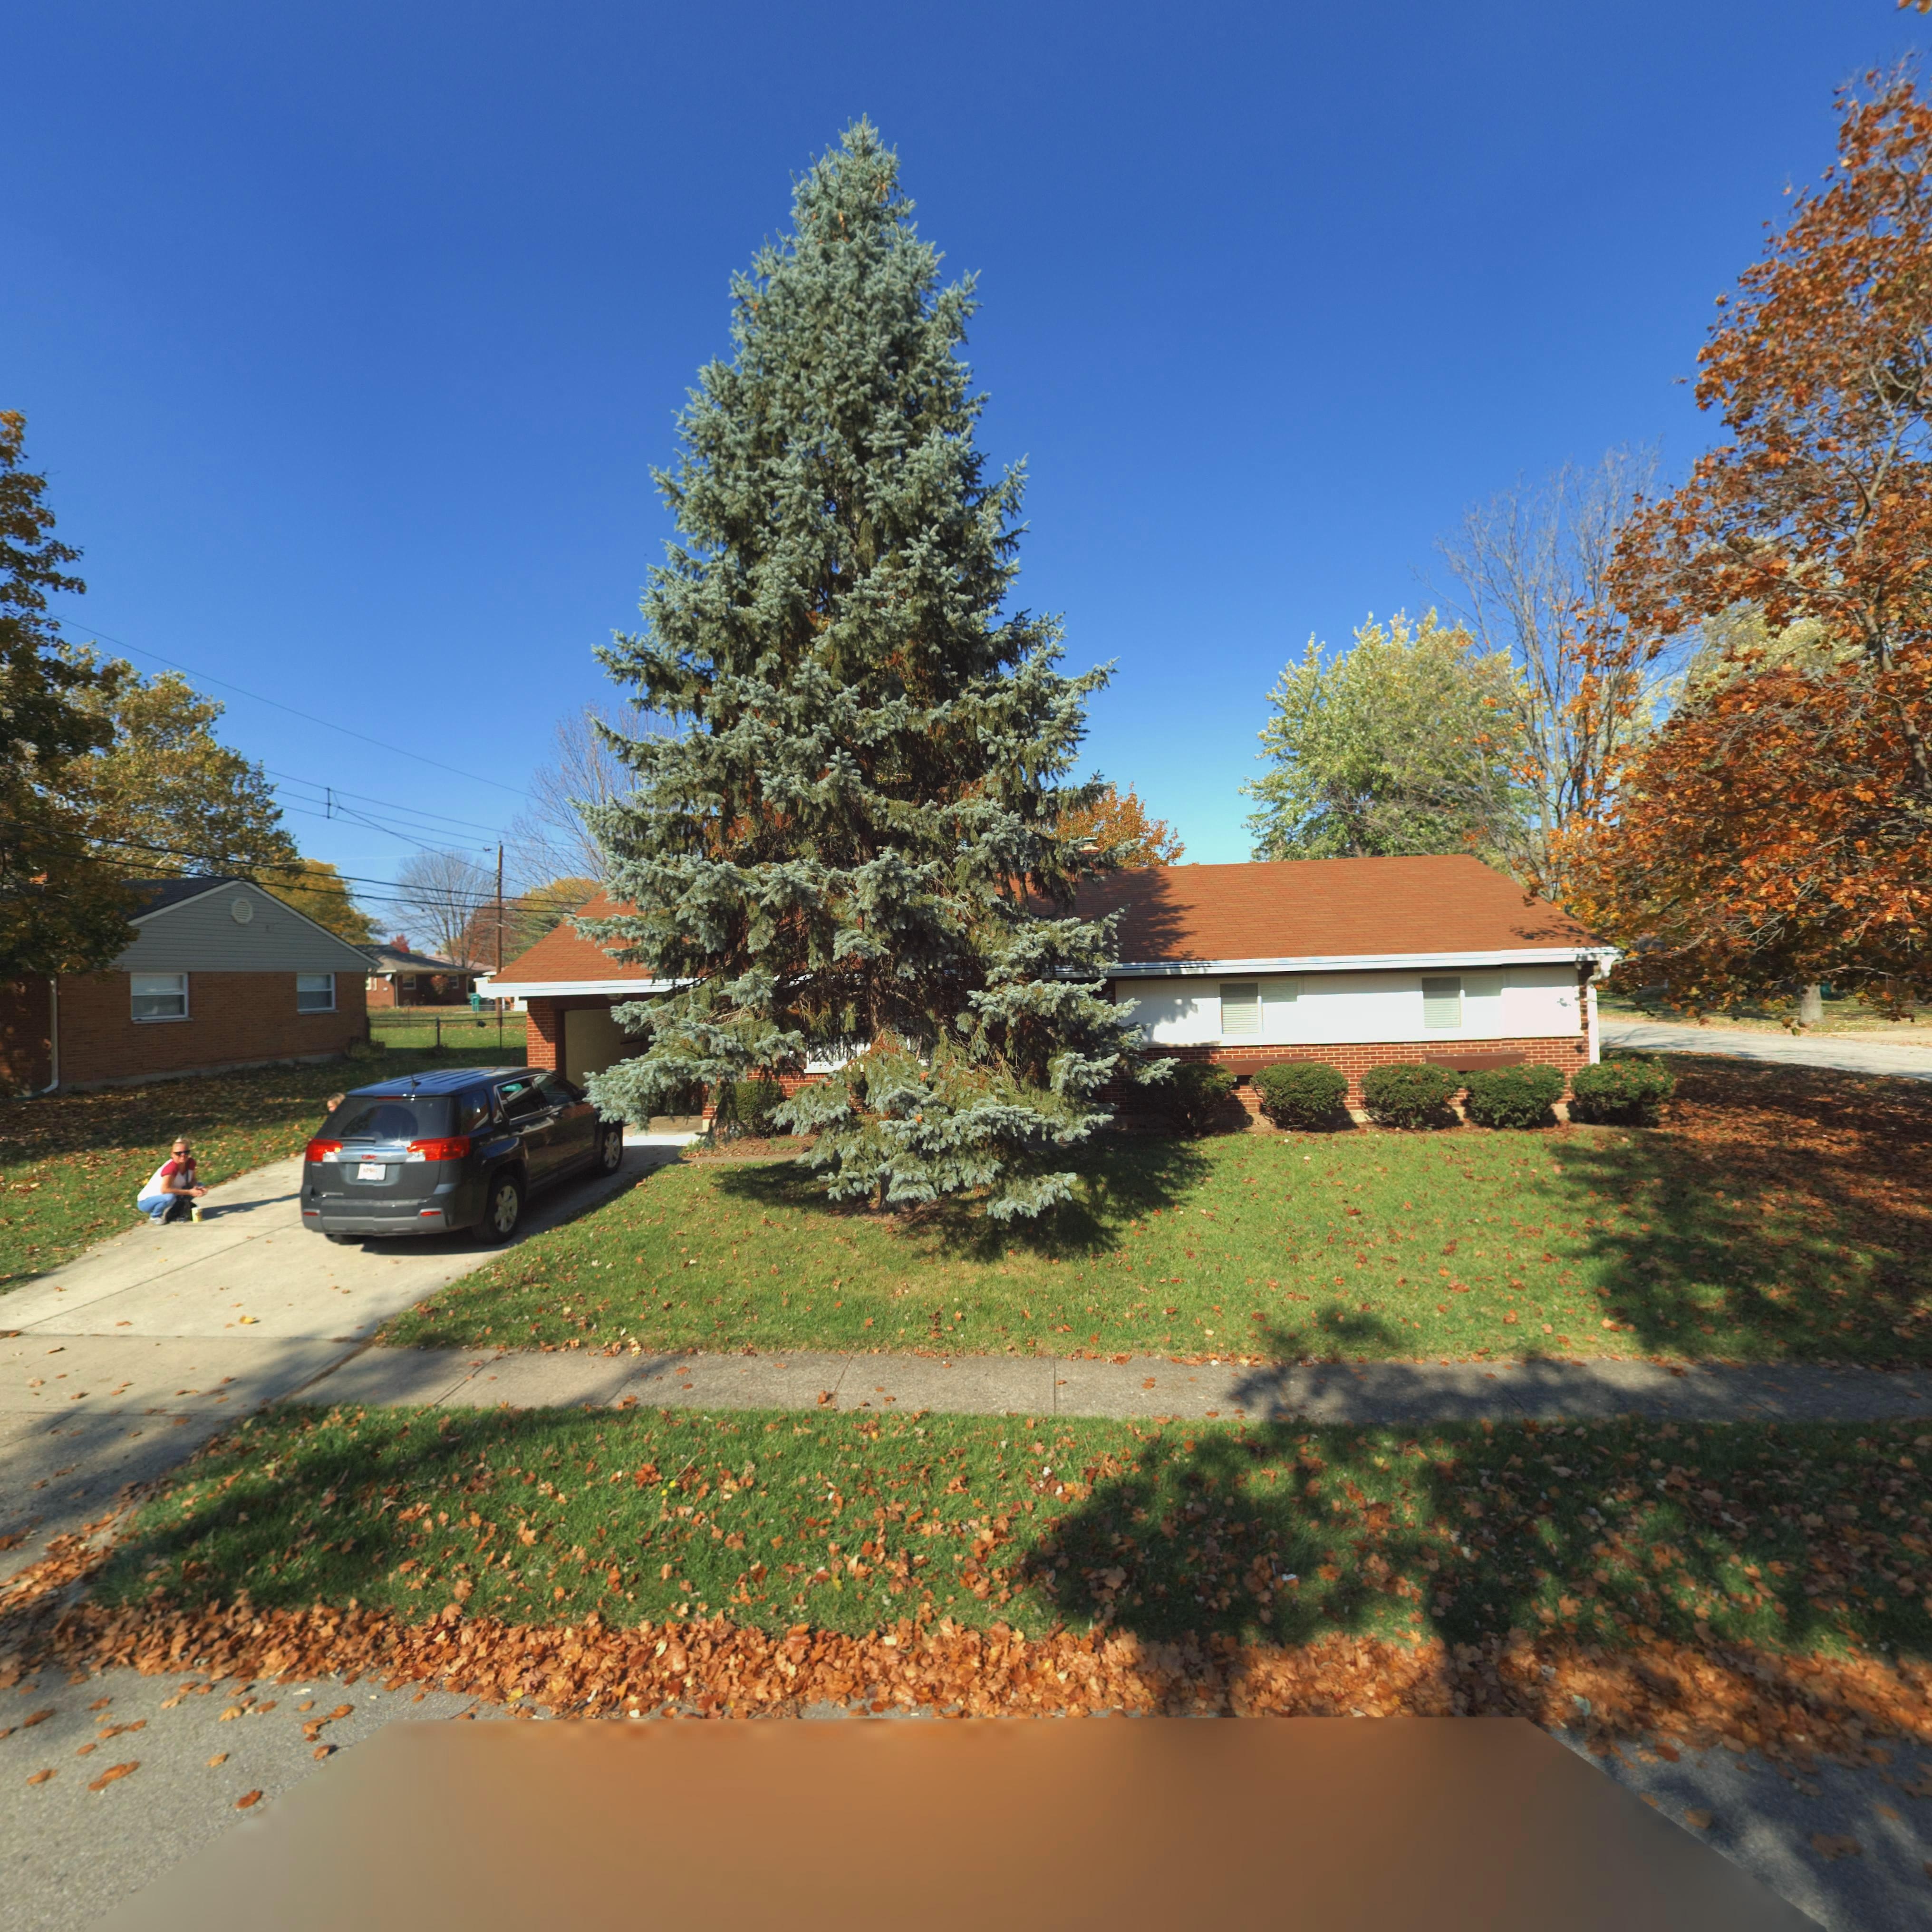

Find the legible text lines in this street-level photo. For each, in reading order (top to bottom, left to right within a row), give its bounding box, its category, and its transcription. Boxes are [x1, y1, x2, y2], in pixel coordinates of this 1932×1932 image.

[361, 1154, 373, 1160] None: GM